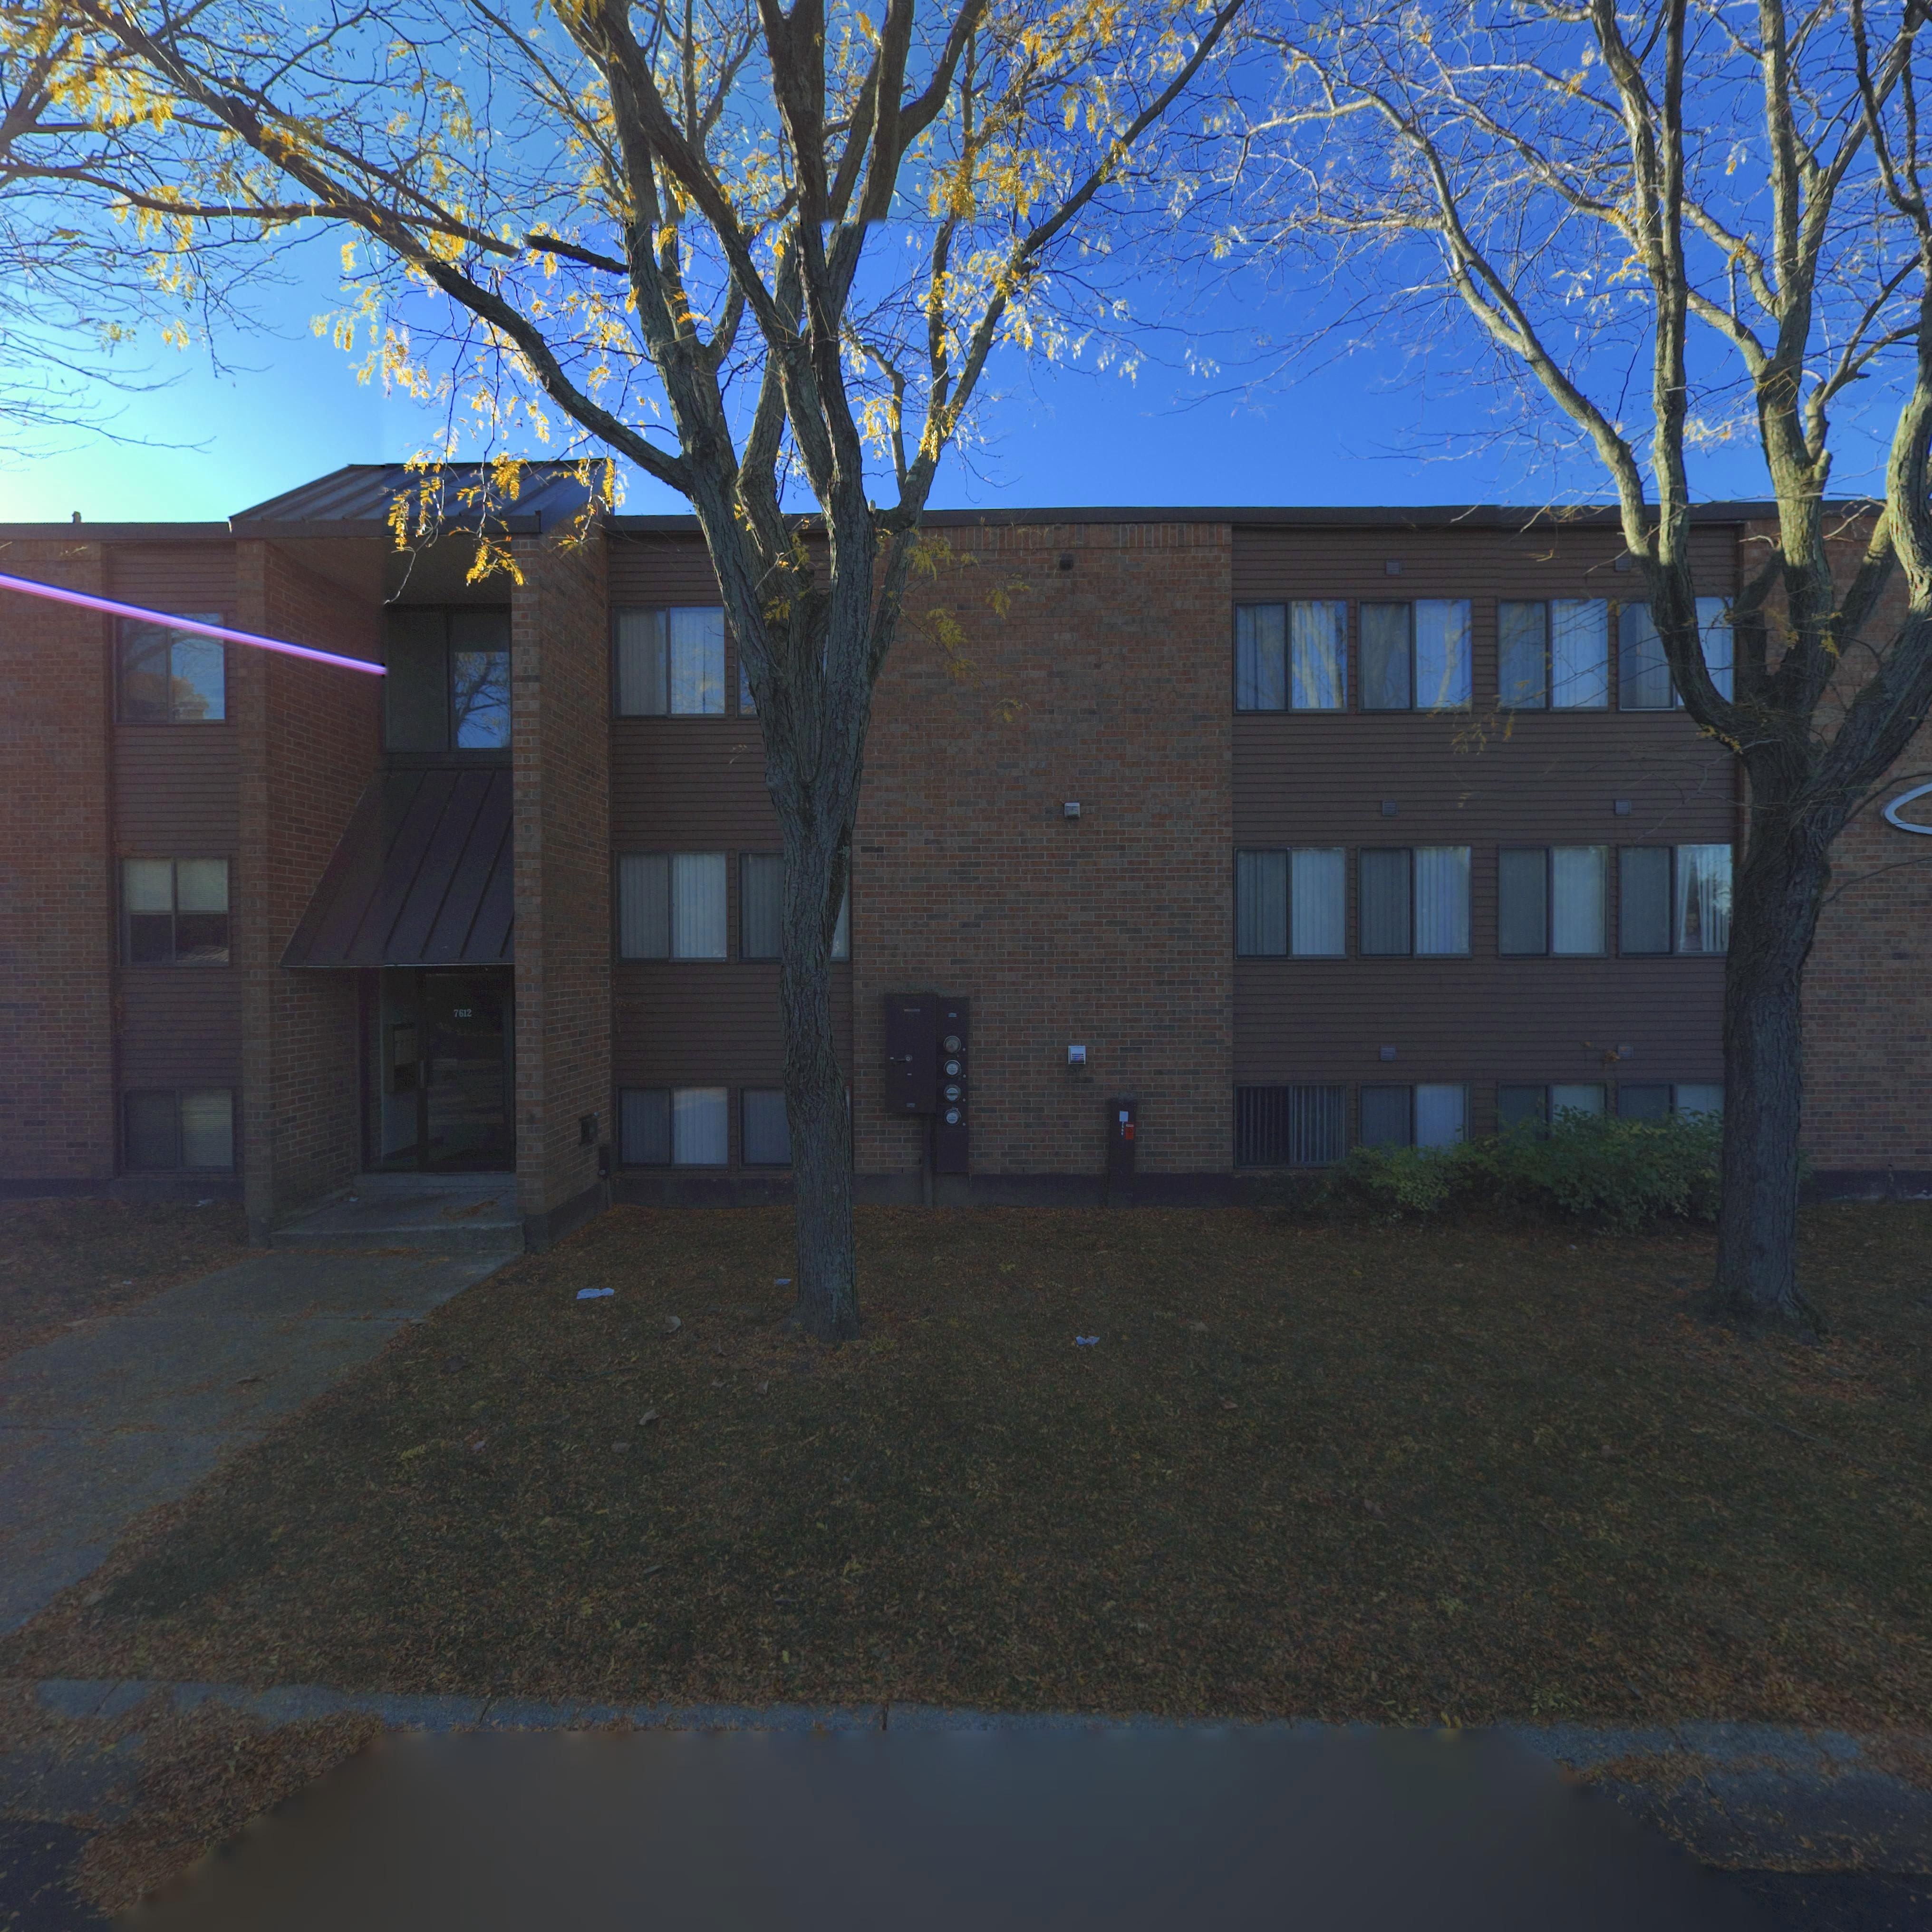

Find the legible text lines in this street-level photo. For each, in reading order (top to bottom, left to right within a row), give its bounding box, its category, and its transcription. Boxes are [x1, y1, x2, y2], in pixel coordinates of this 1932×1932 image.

[453, 1007, 473, 1019] StreetNumber: 7612